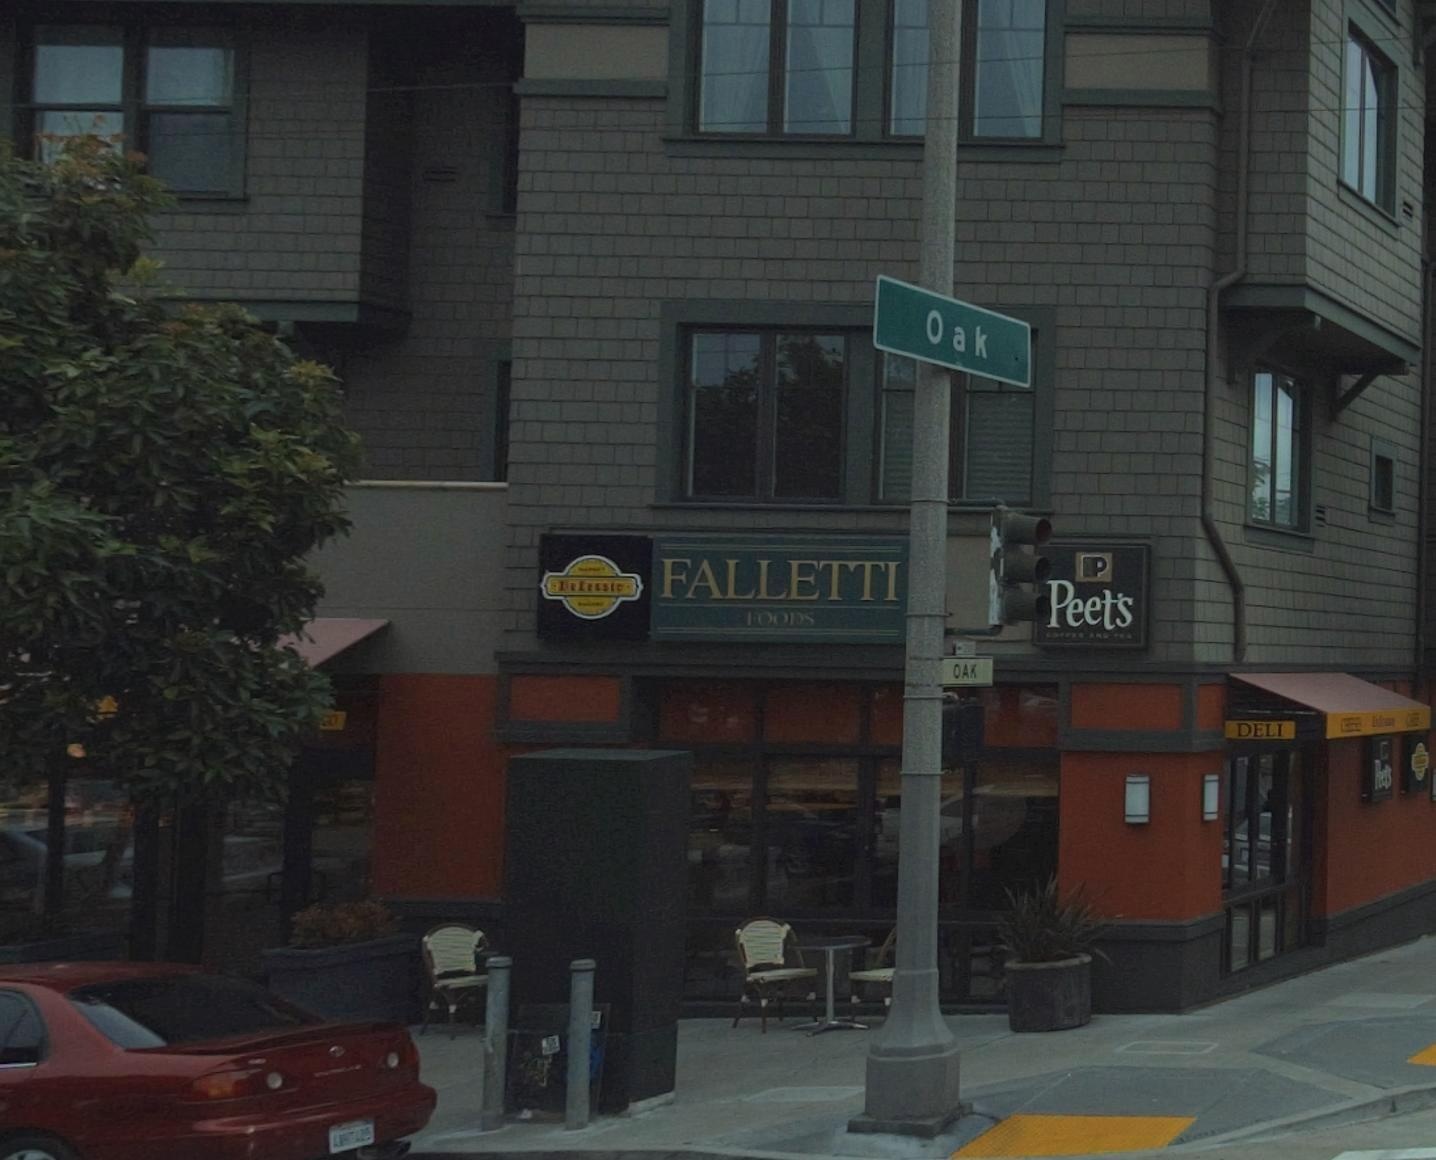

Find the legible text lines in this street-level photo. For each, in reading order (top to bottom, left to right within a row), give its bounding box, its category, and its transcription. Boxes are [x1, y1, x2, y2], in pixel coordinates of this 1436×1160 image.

[925, 307, 990, 361] StreetName: Oak
[1082, 556, 1108, 579] None: P
[557, 576, 626, 596] None: *e*essic
[658, 557, 902, 602] BusinessName: FALLETTI
[1045, 578, 1134, 632] BusinessName: Peet's
[746, 609, 816, 628] None: FOODS
[1045, 631, 1134, 640] None: COFFEE AND TEA
[952, 663, 978, 680] StreetName: OAK
[1235, 722, 1285, 738] None: DELI